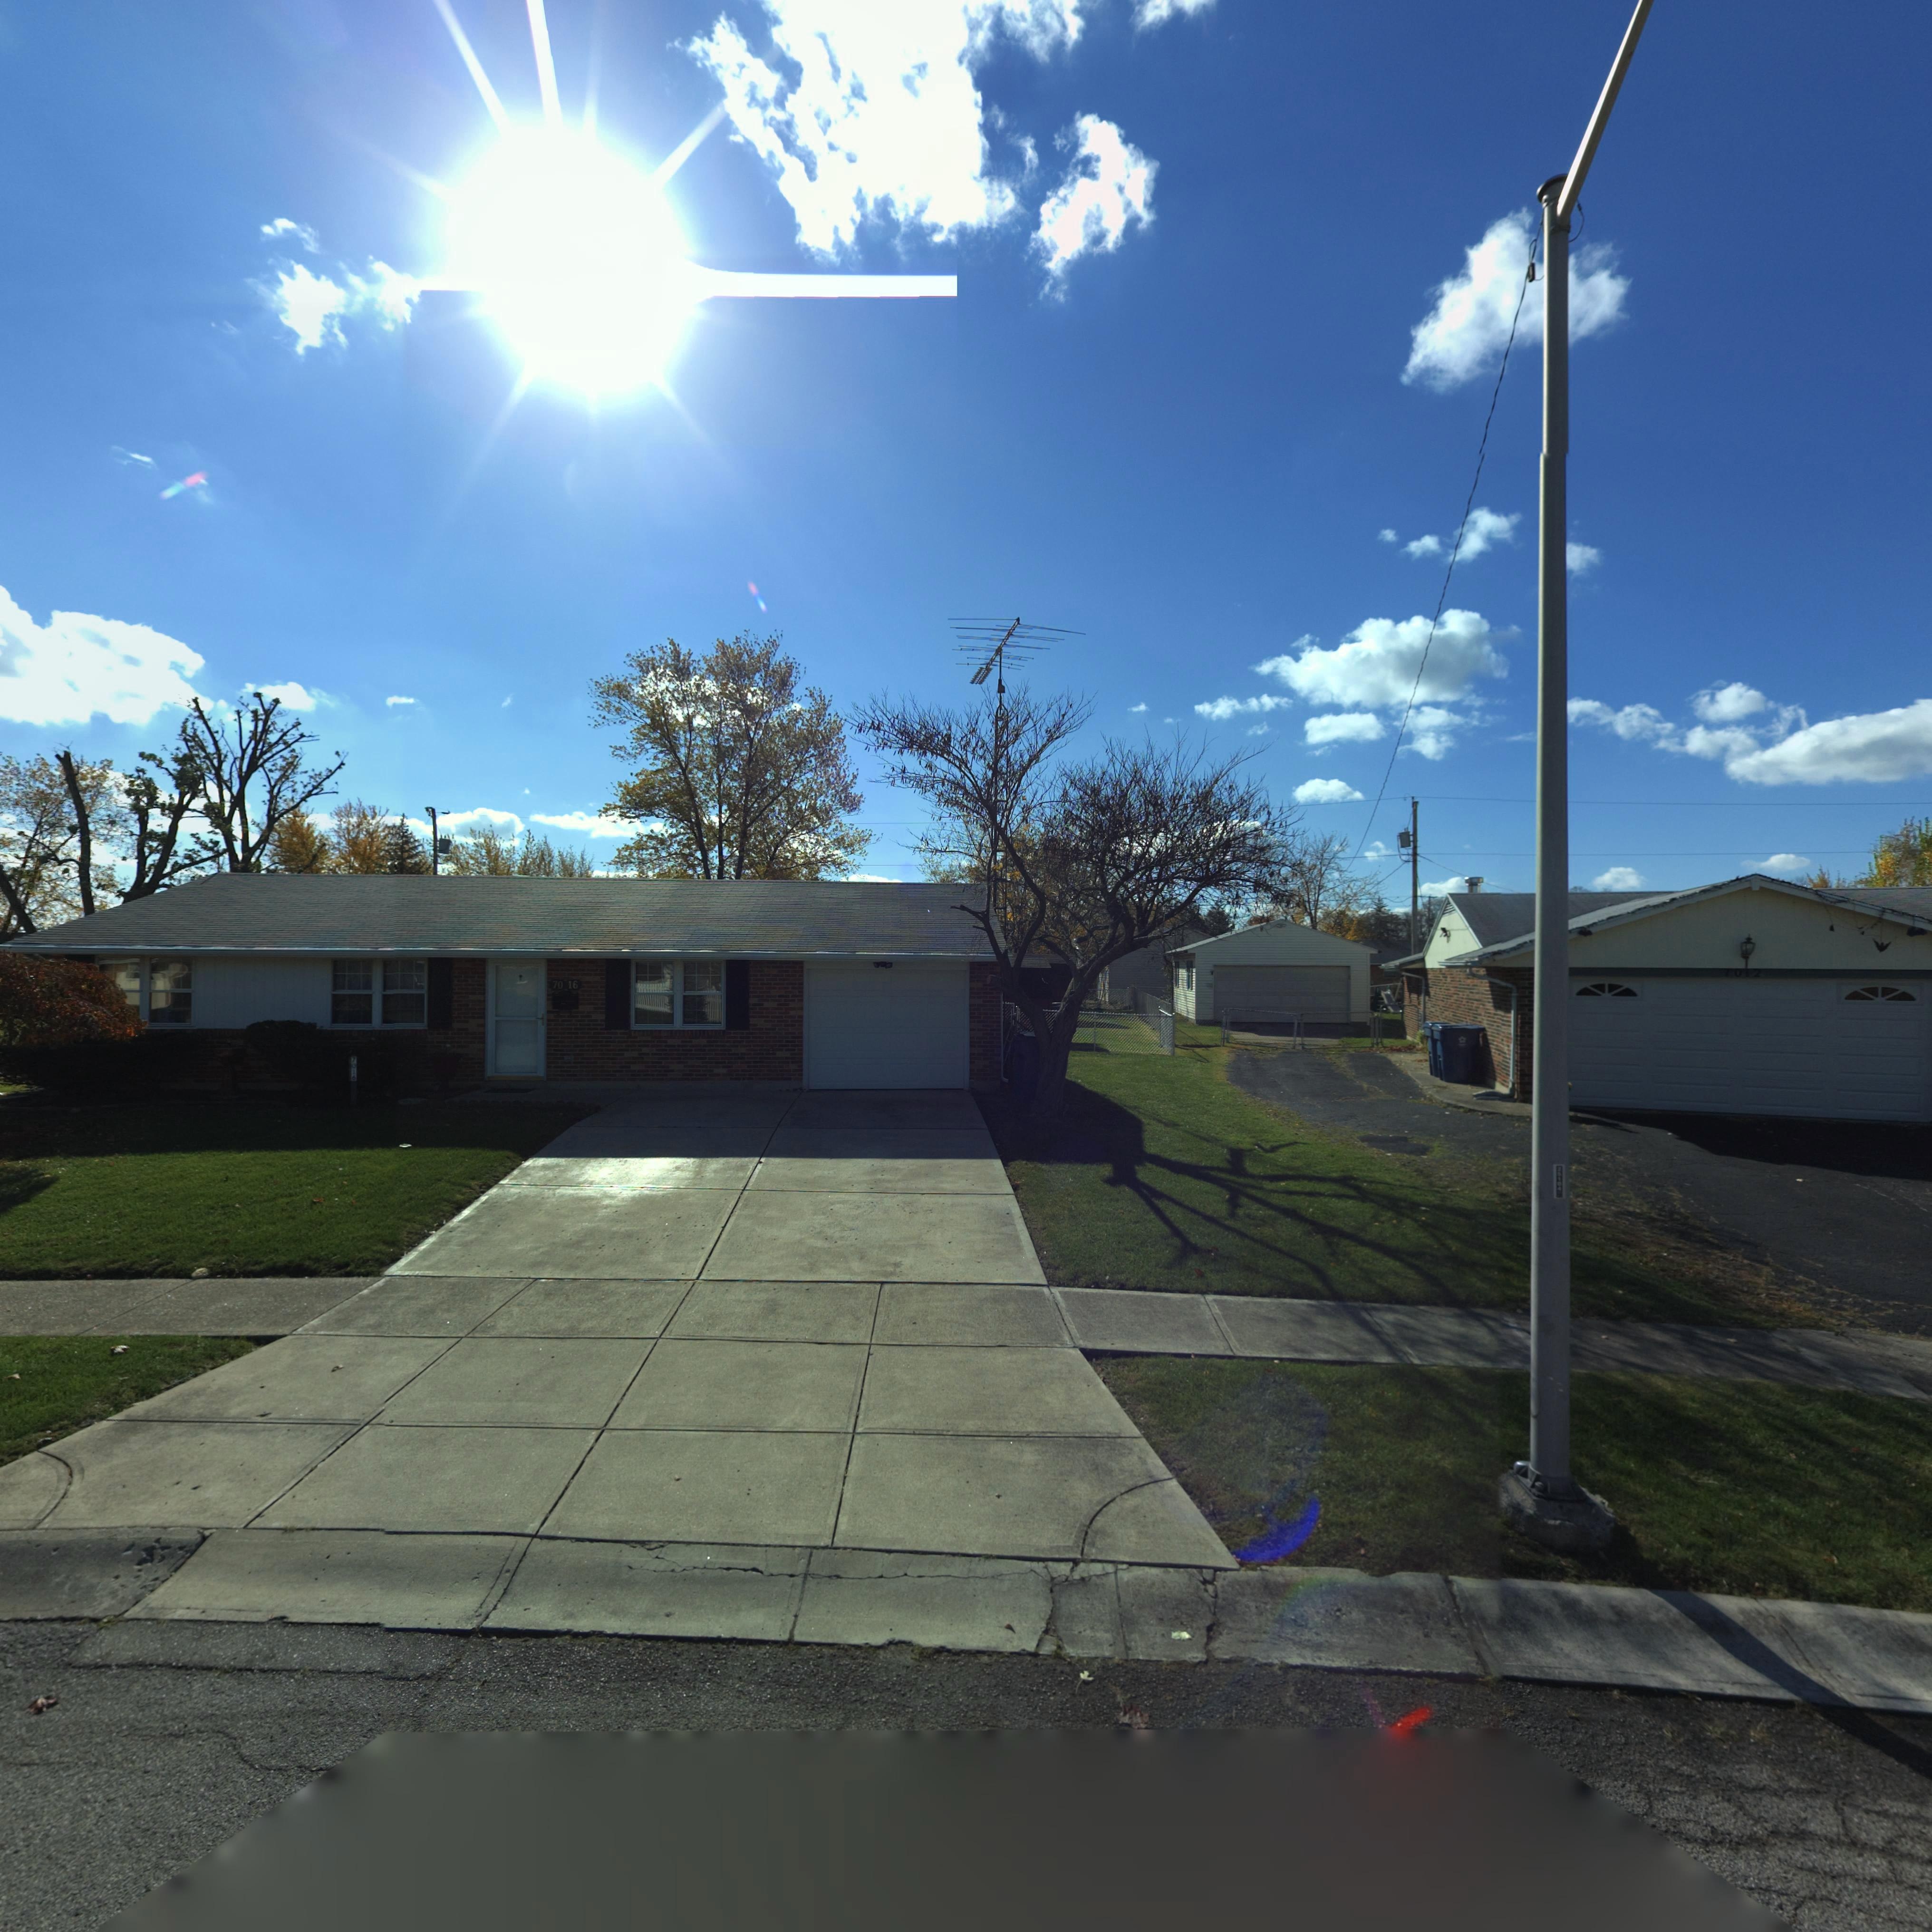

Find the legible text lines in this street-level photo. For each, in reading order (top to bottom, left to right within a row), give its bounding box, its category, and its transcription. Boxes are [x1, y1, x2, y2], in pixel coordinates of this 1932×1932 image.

[1721, 967, 1762, 979] StreetNumber: 7012
[551, 979, 580, 991] StreetNumber: 70*16